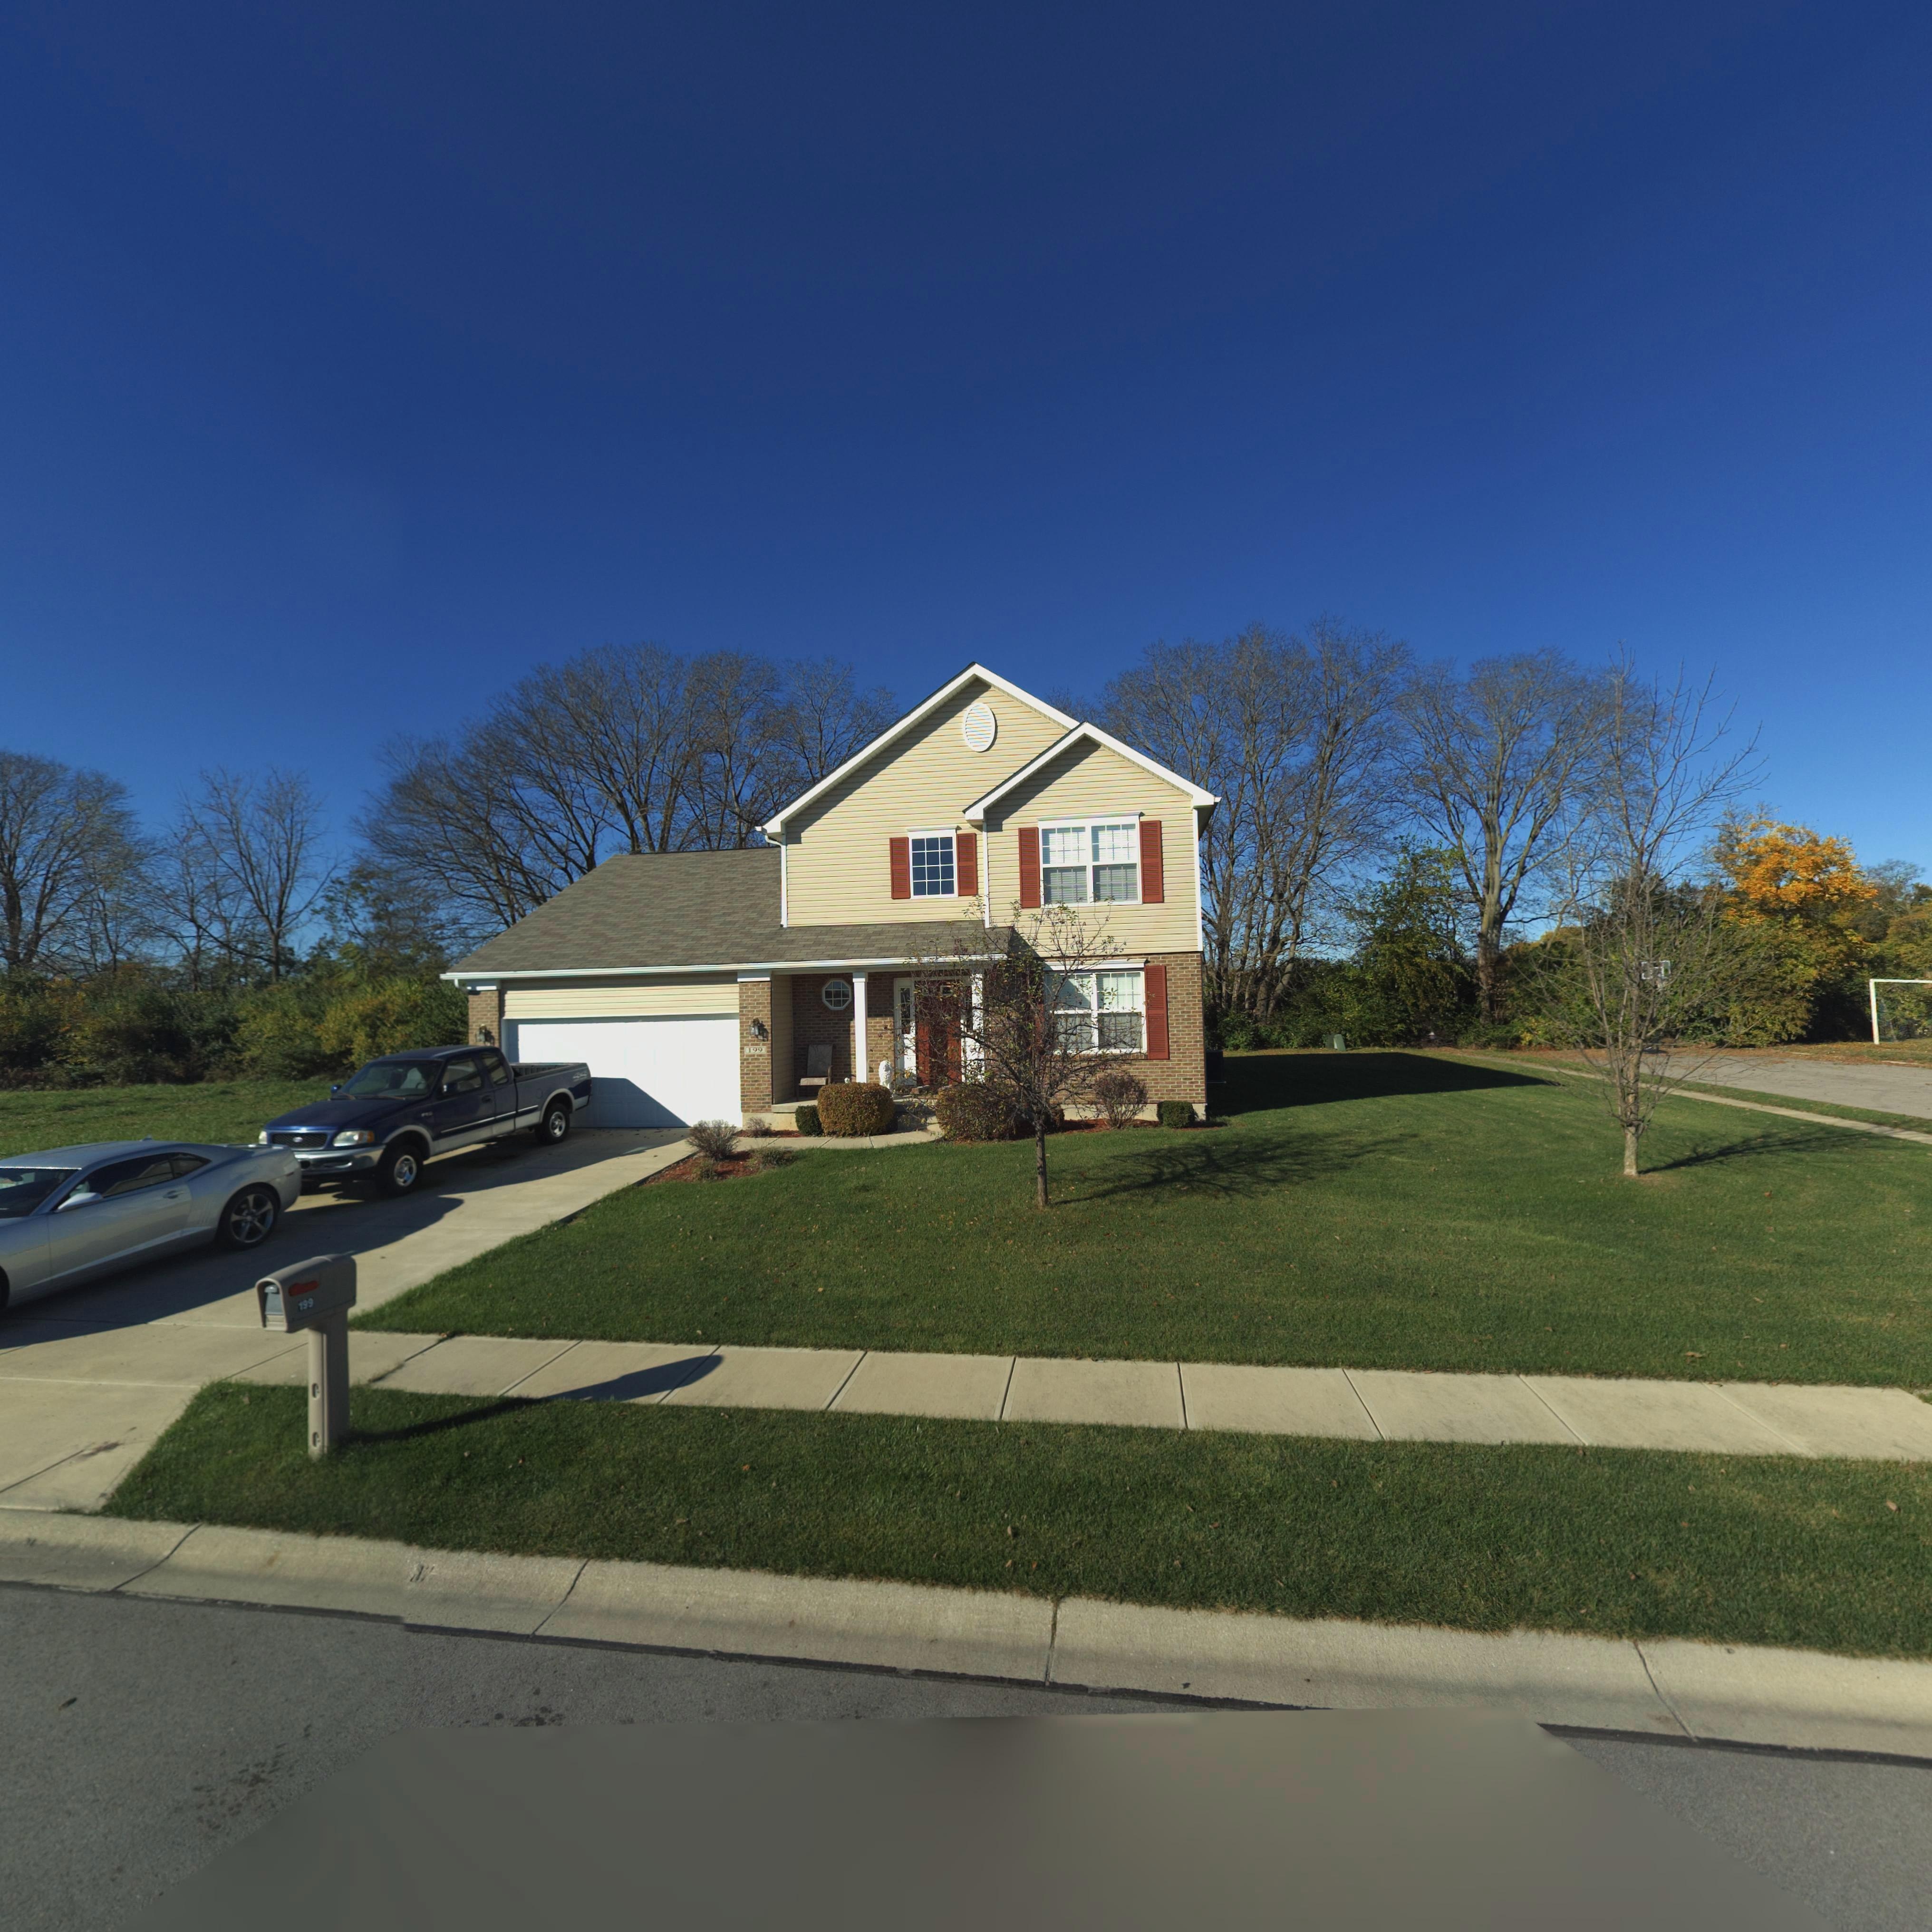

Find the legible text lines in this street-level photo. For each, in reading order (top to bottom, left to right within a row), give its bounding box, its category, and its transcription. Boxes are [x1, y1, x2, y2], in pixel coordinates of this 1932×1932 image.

[748, 1047, 763, 1053] StreetNumber: 199
[297, 1297, 314, 1313] StreetNumber: 199